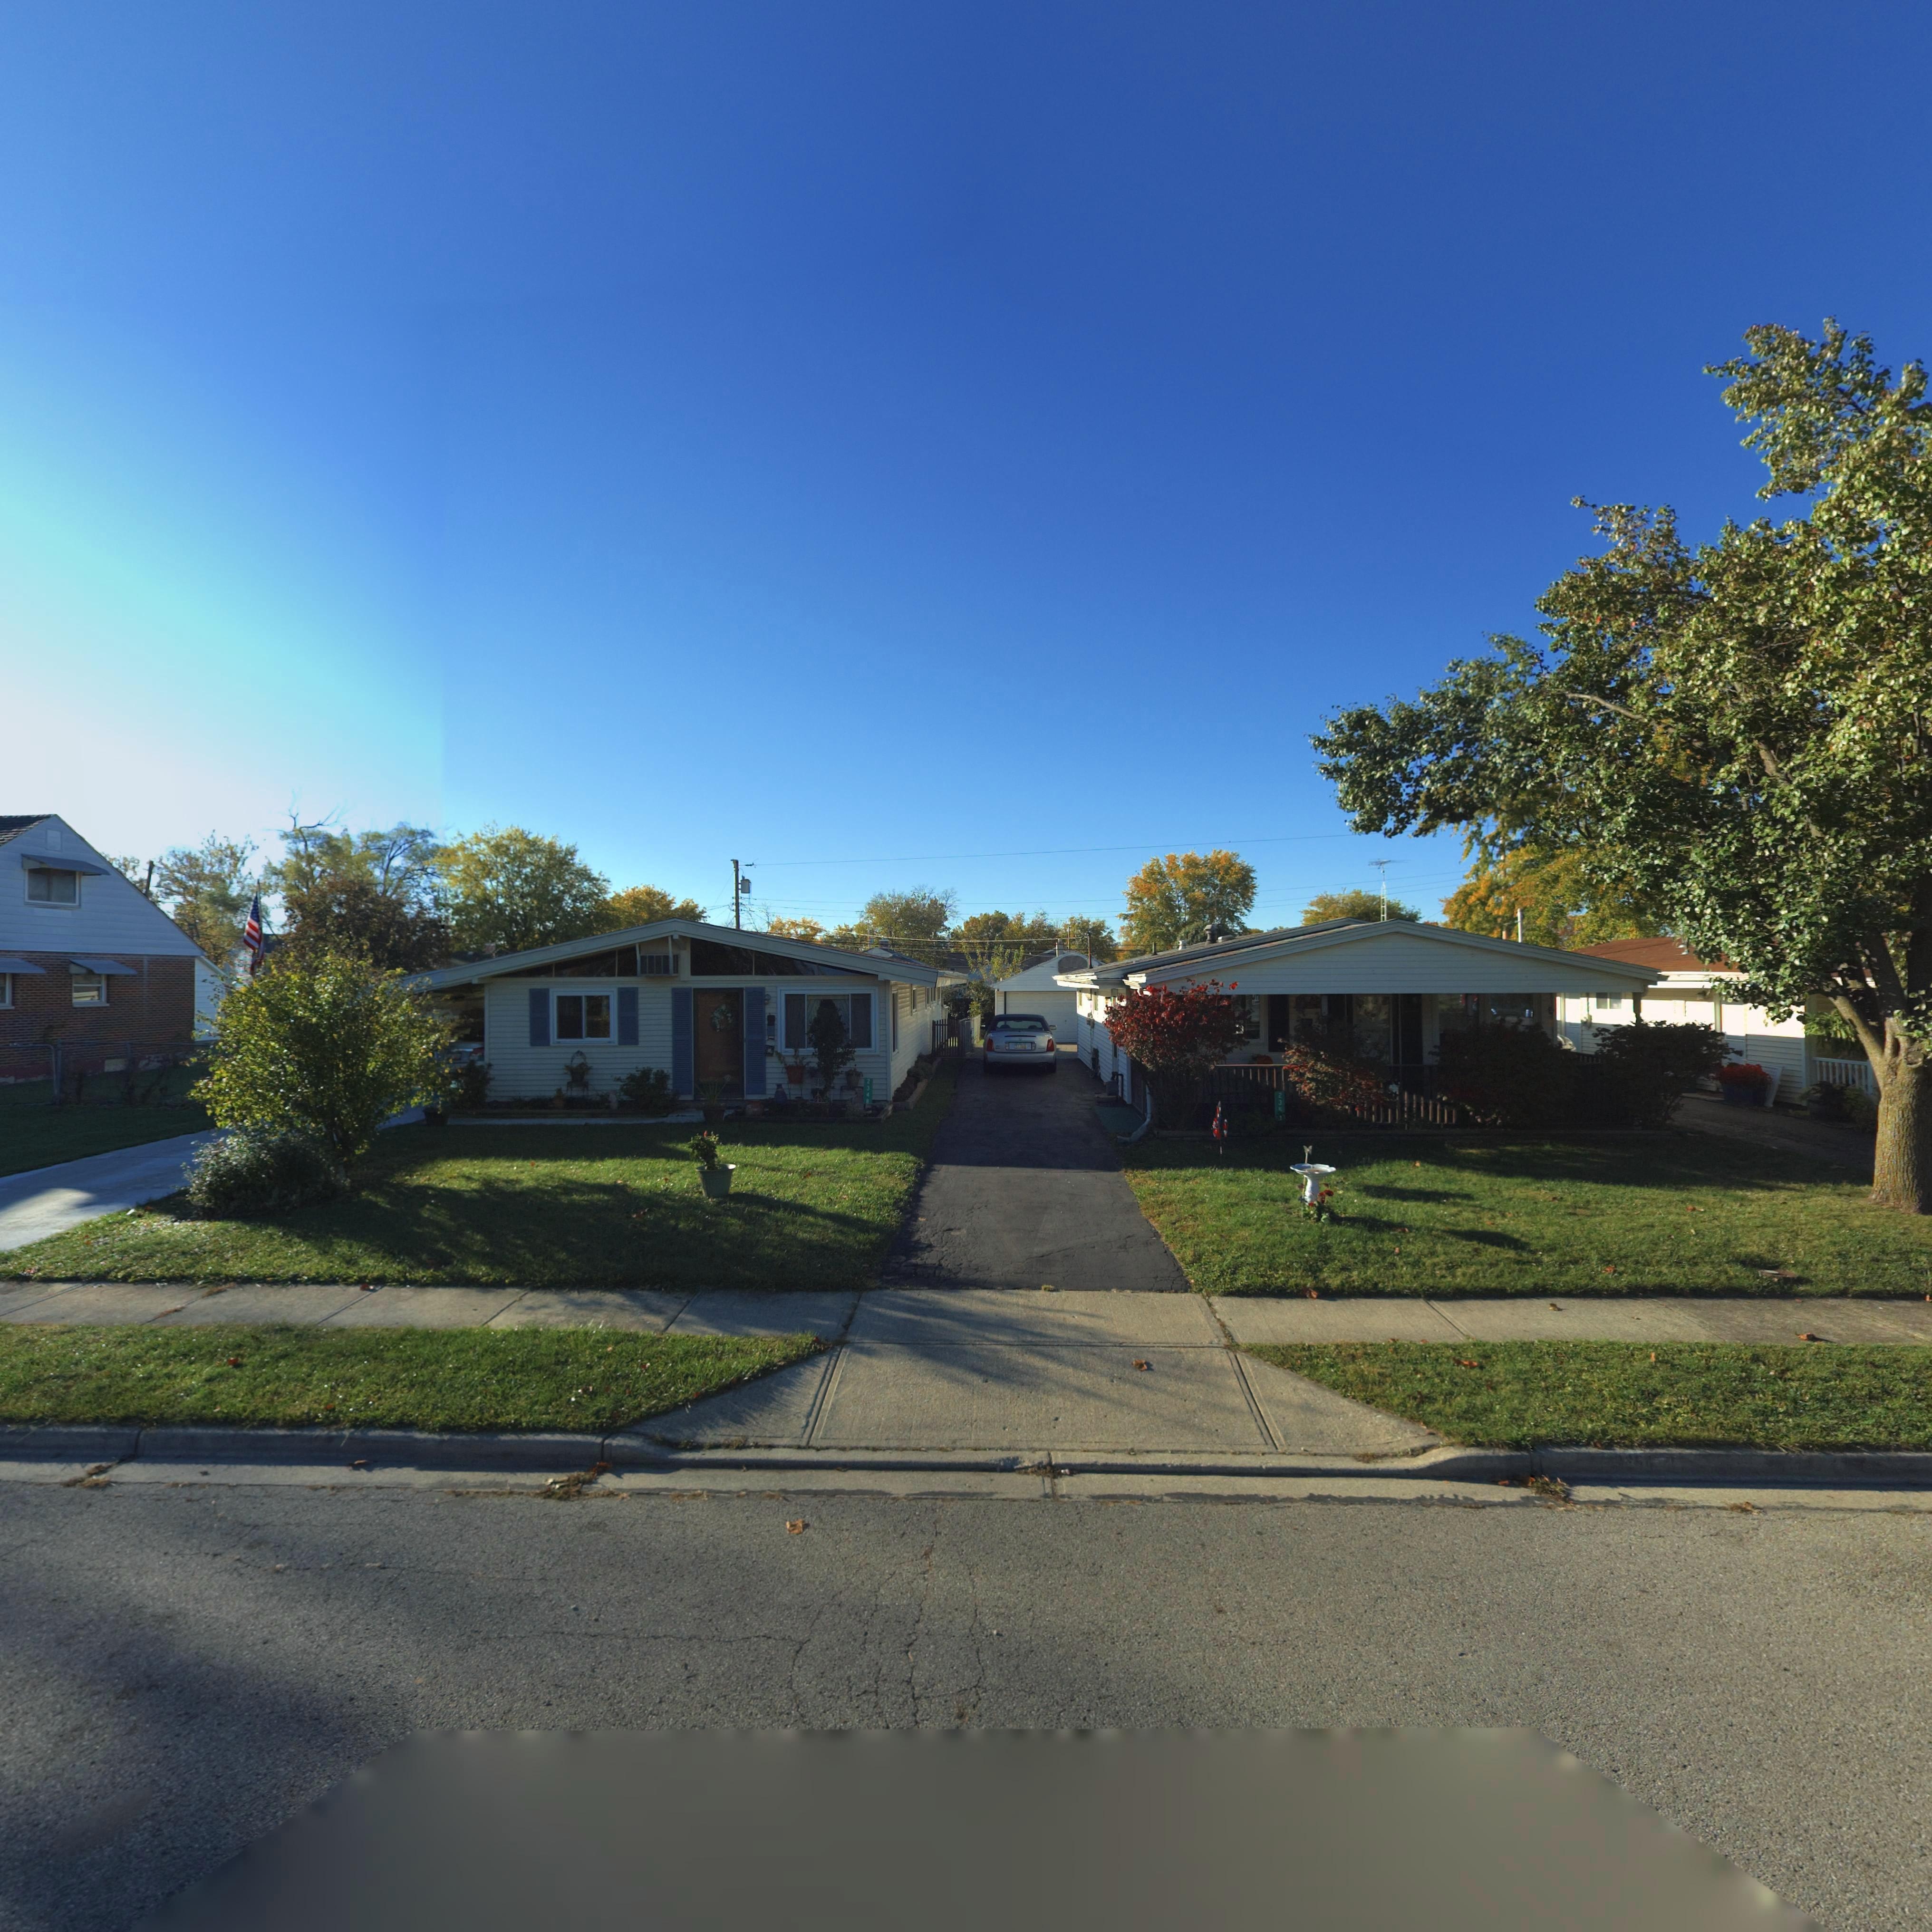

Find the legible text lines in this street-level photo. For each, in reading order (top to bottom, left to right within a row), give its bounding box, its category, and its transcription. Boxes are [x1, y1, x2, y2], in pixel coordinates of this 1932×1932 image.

[865, 1078, 871, 1104] StreetNumber: 2348
[1277, 1092, 1284, 1121] StreetNumber: 23**